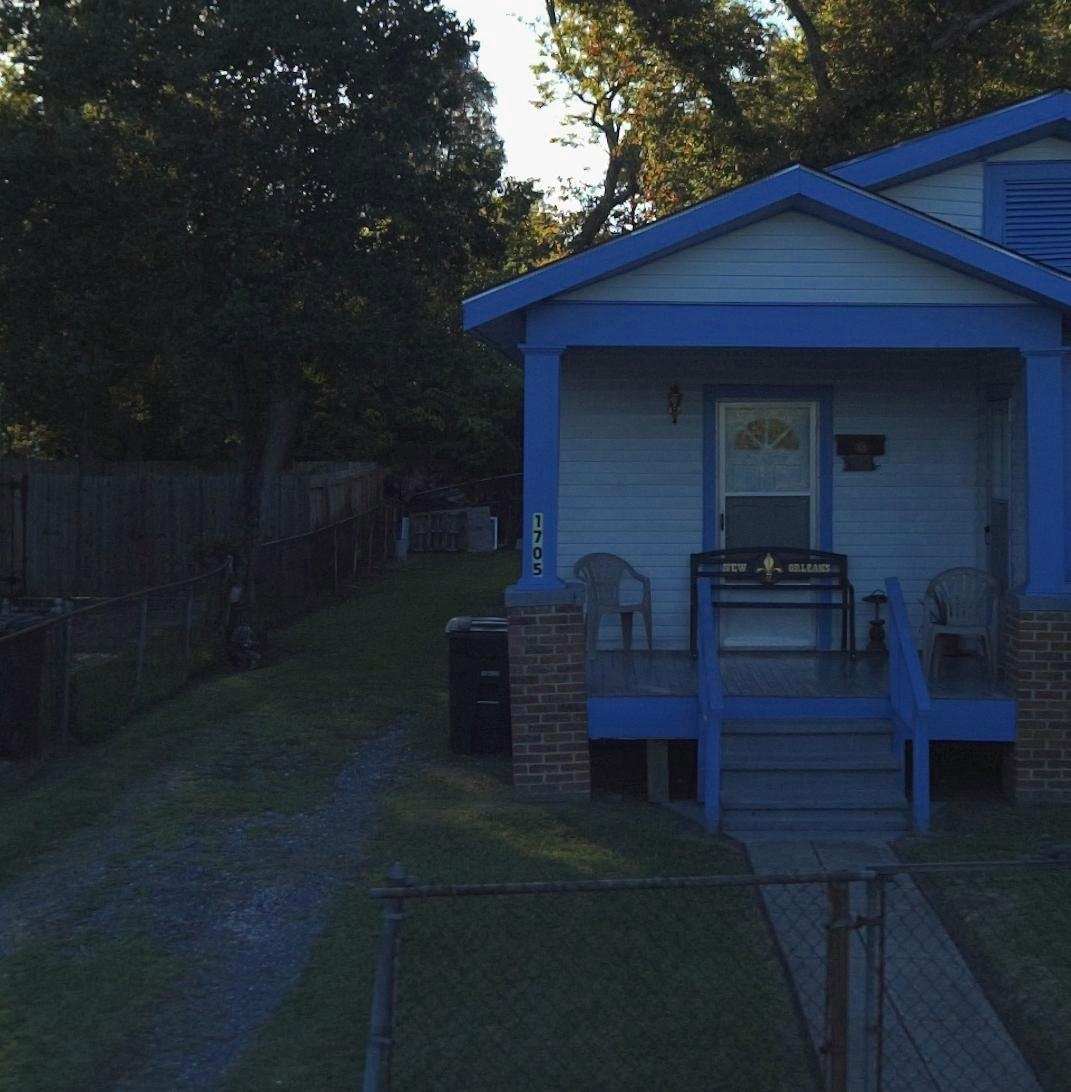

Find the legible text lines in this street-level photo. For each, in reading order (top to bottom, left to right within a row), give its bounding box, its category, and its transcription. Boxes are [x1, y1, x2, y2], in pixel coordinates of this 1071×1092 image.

[531, 510, 544, 578] StreetNumber: 1705
[721, 560, 749, 574] None: NEW
[786, 560, 833, 575] None: ORLEANS